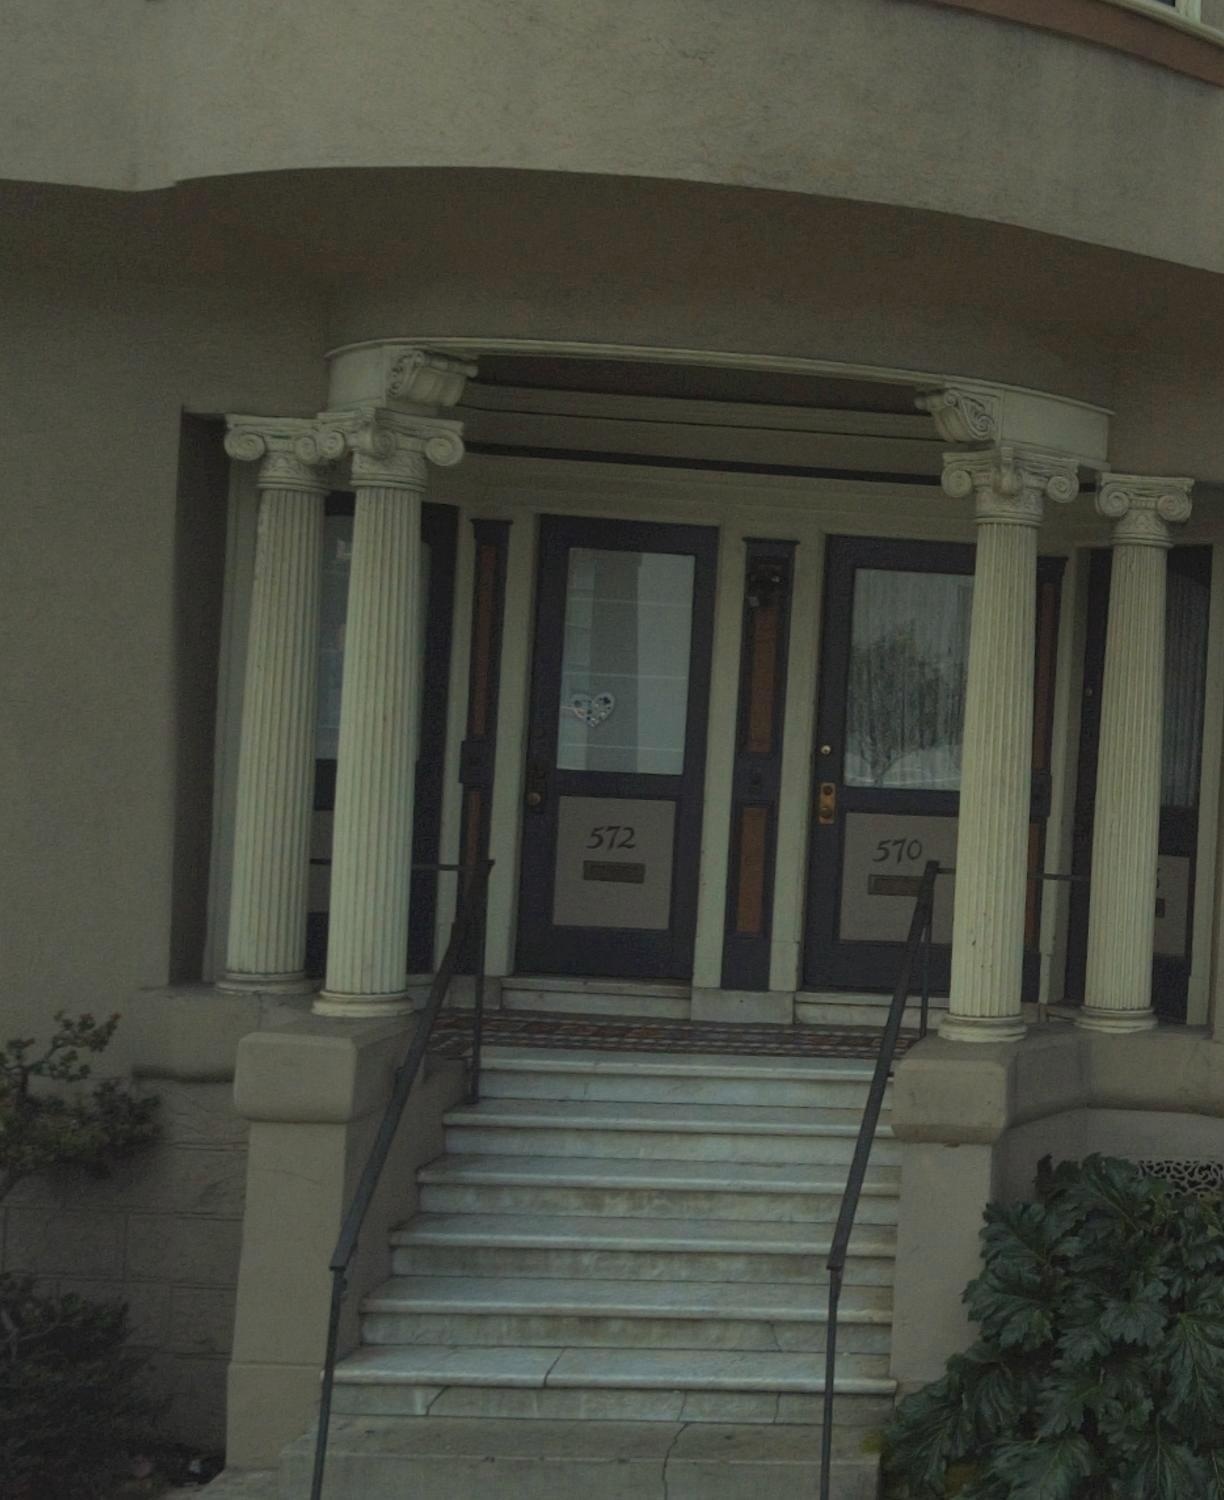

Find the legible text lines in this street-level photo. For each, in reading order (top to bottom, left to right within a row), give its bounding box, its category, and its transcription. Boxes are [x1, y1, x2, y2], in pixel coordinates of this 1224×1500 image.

[584, 824, 638, 851] StreetNumber: 572
[869, 837, 925, 865] StreetNumber: 572